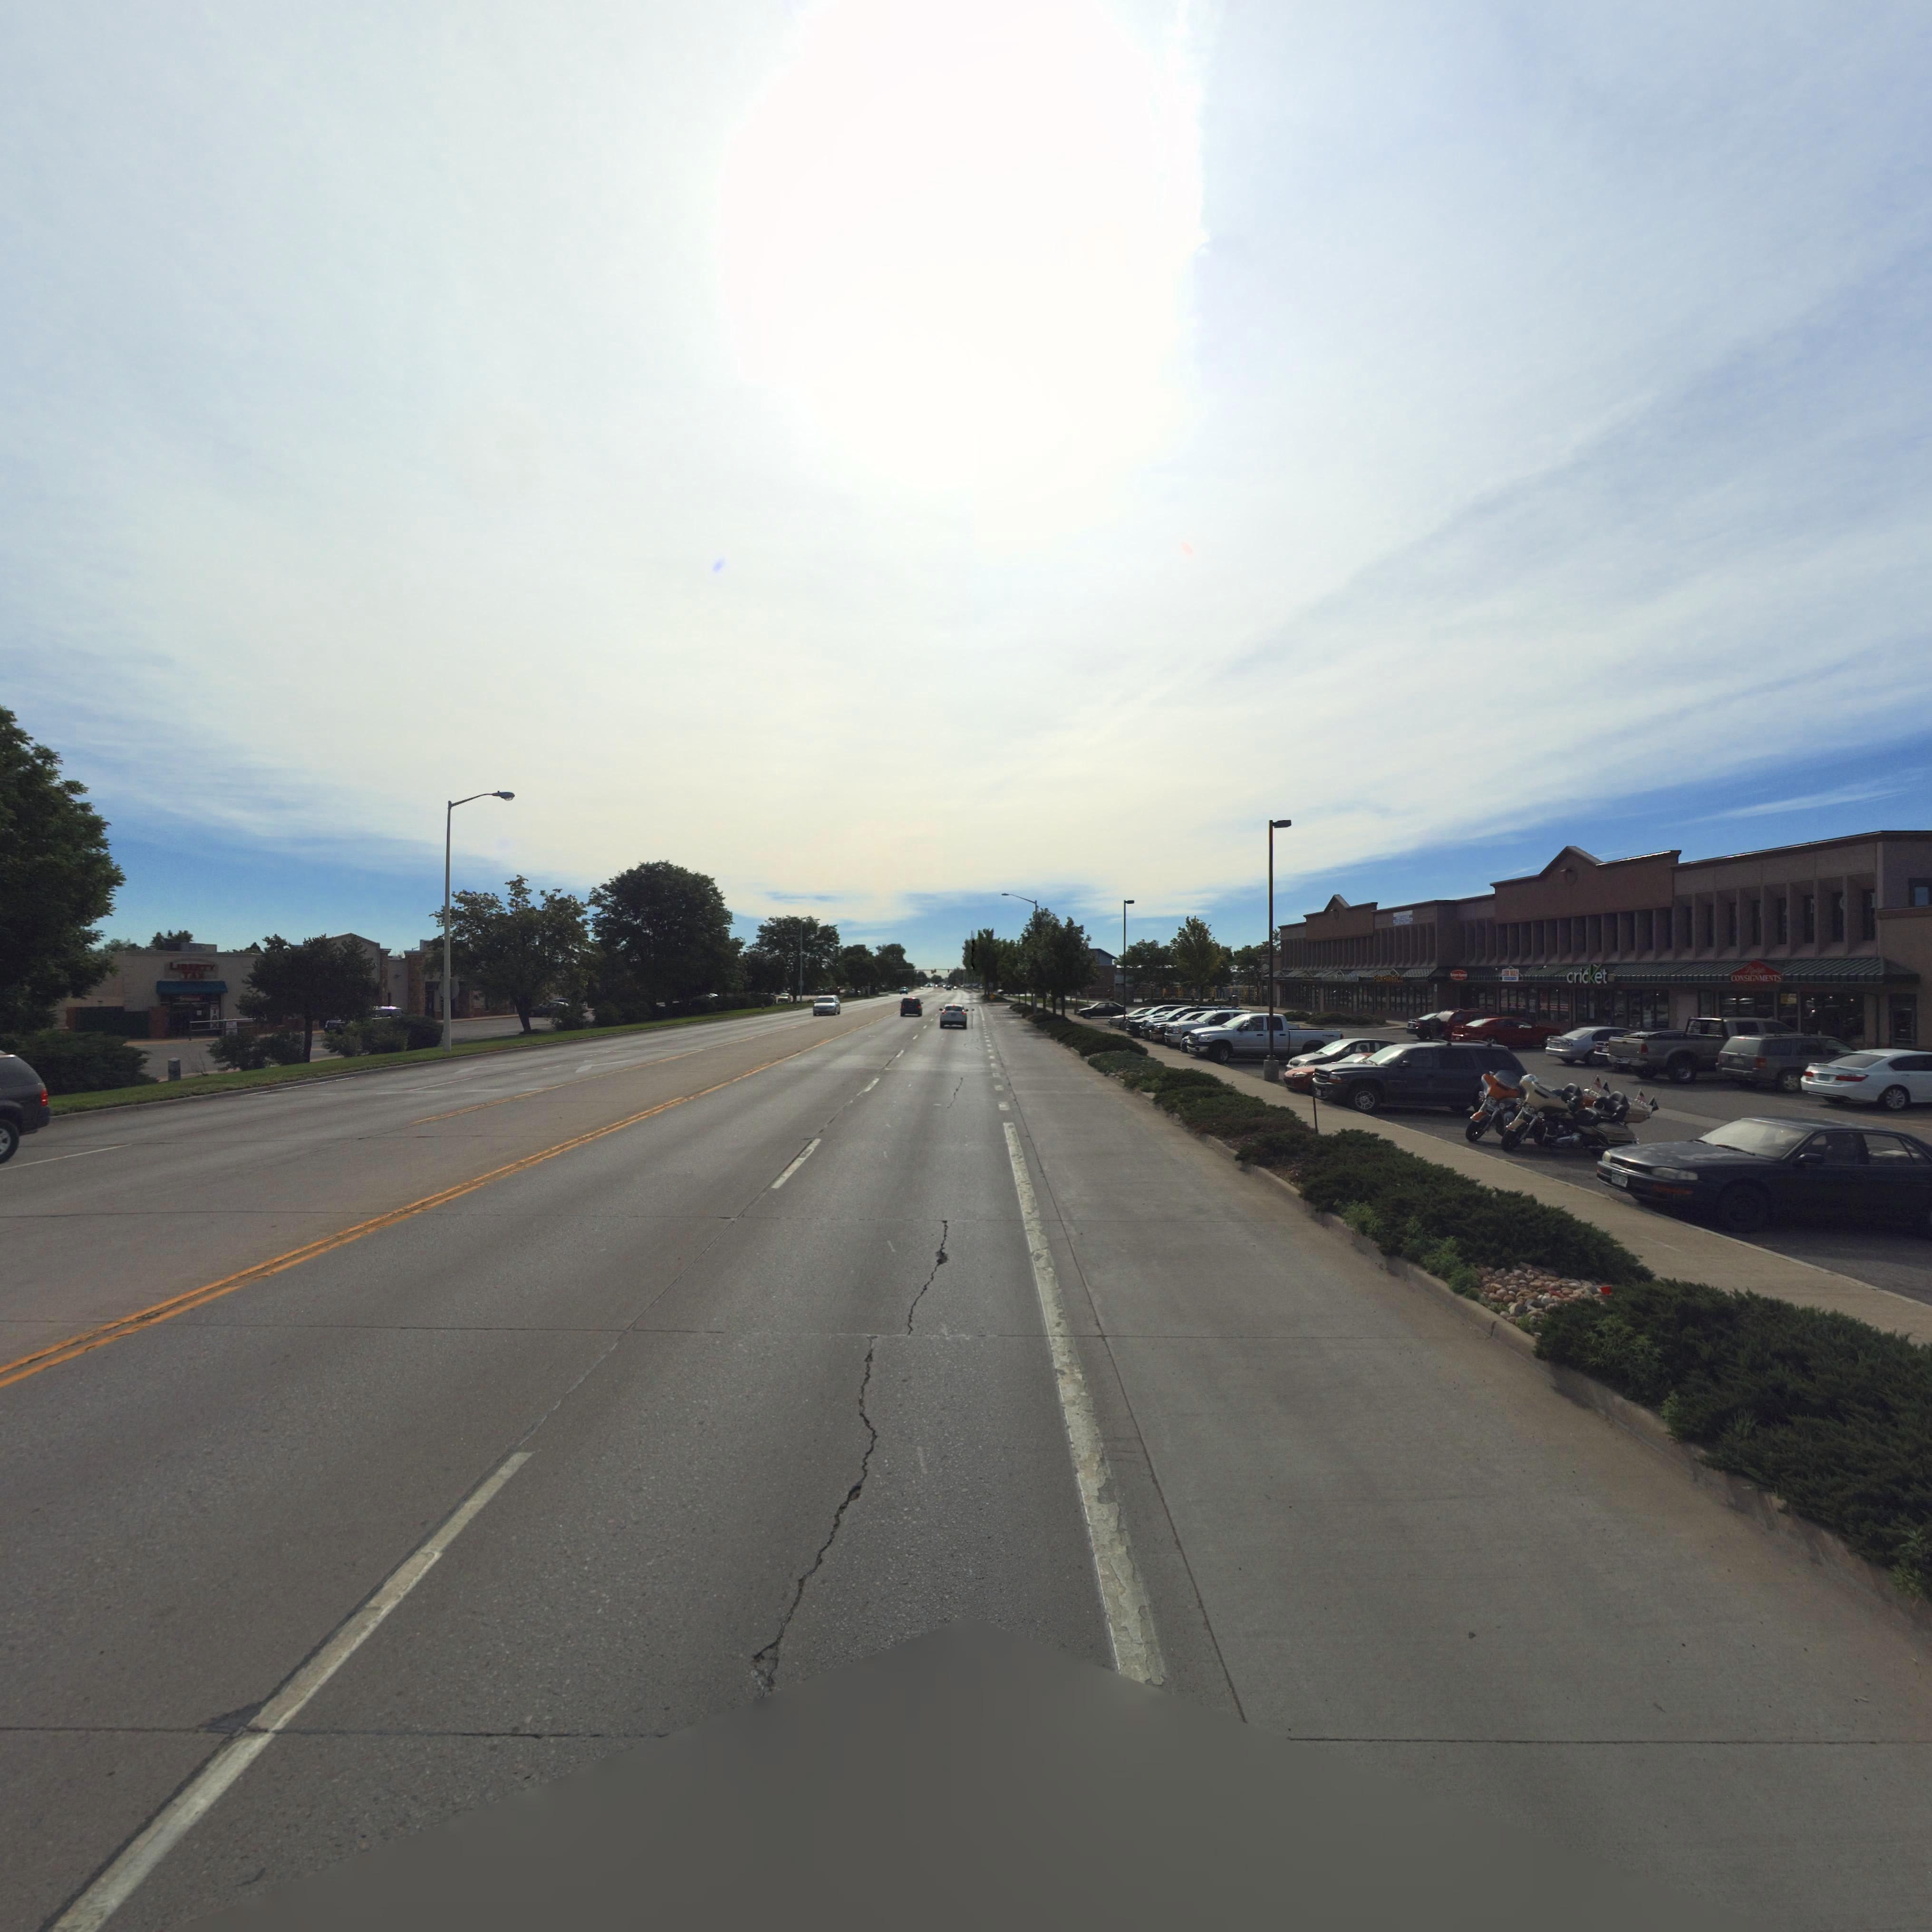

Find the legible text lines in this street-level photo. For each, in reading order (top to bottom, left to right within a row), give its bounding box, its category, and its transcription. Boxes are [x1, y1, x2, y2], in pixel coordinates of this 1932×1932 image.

[169, 962, 214, 970] BusinessName: LIBERTY
[182, 971, 204, 979] BusinessName: TAX